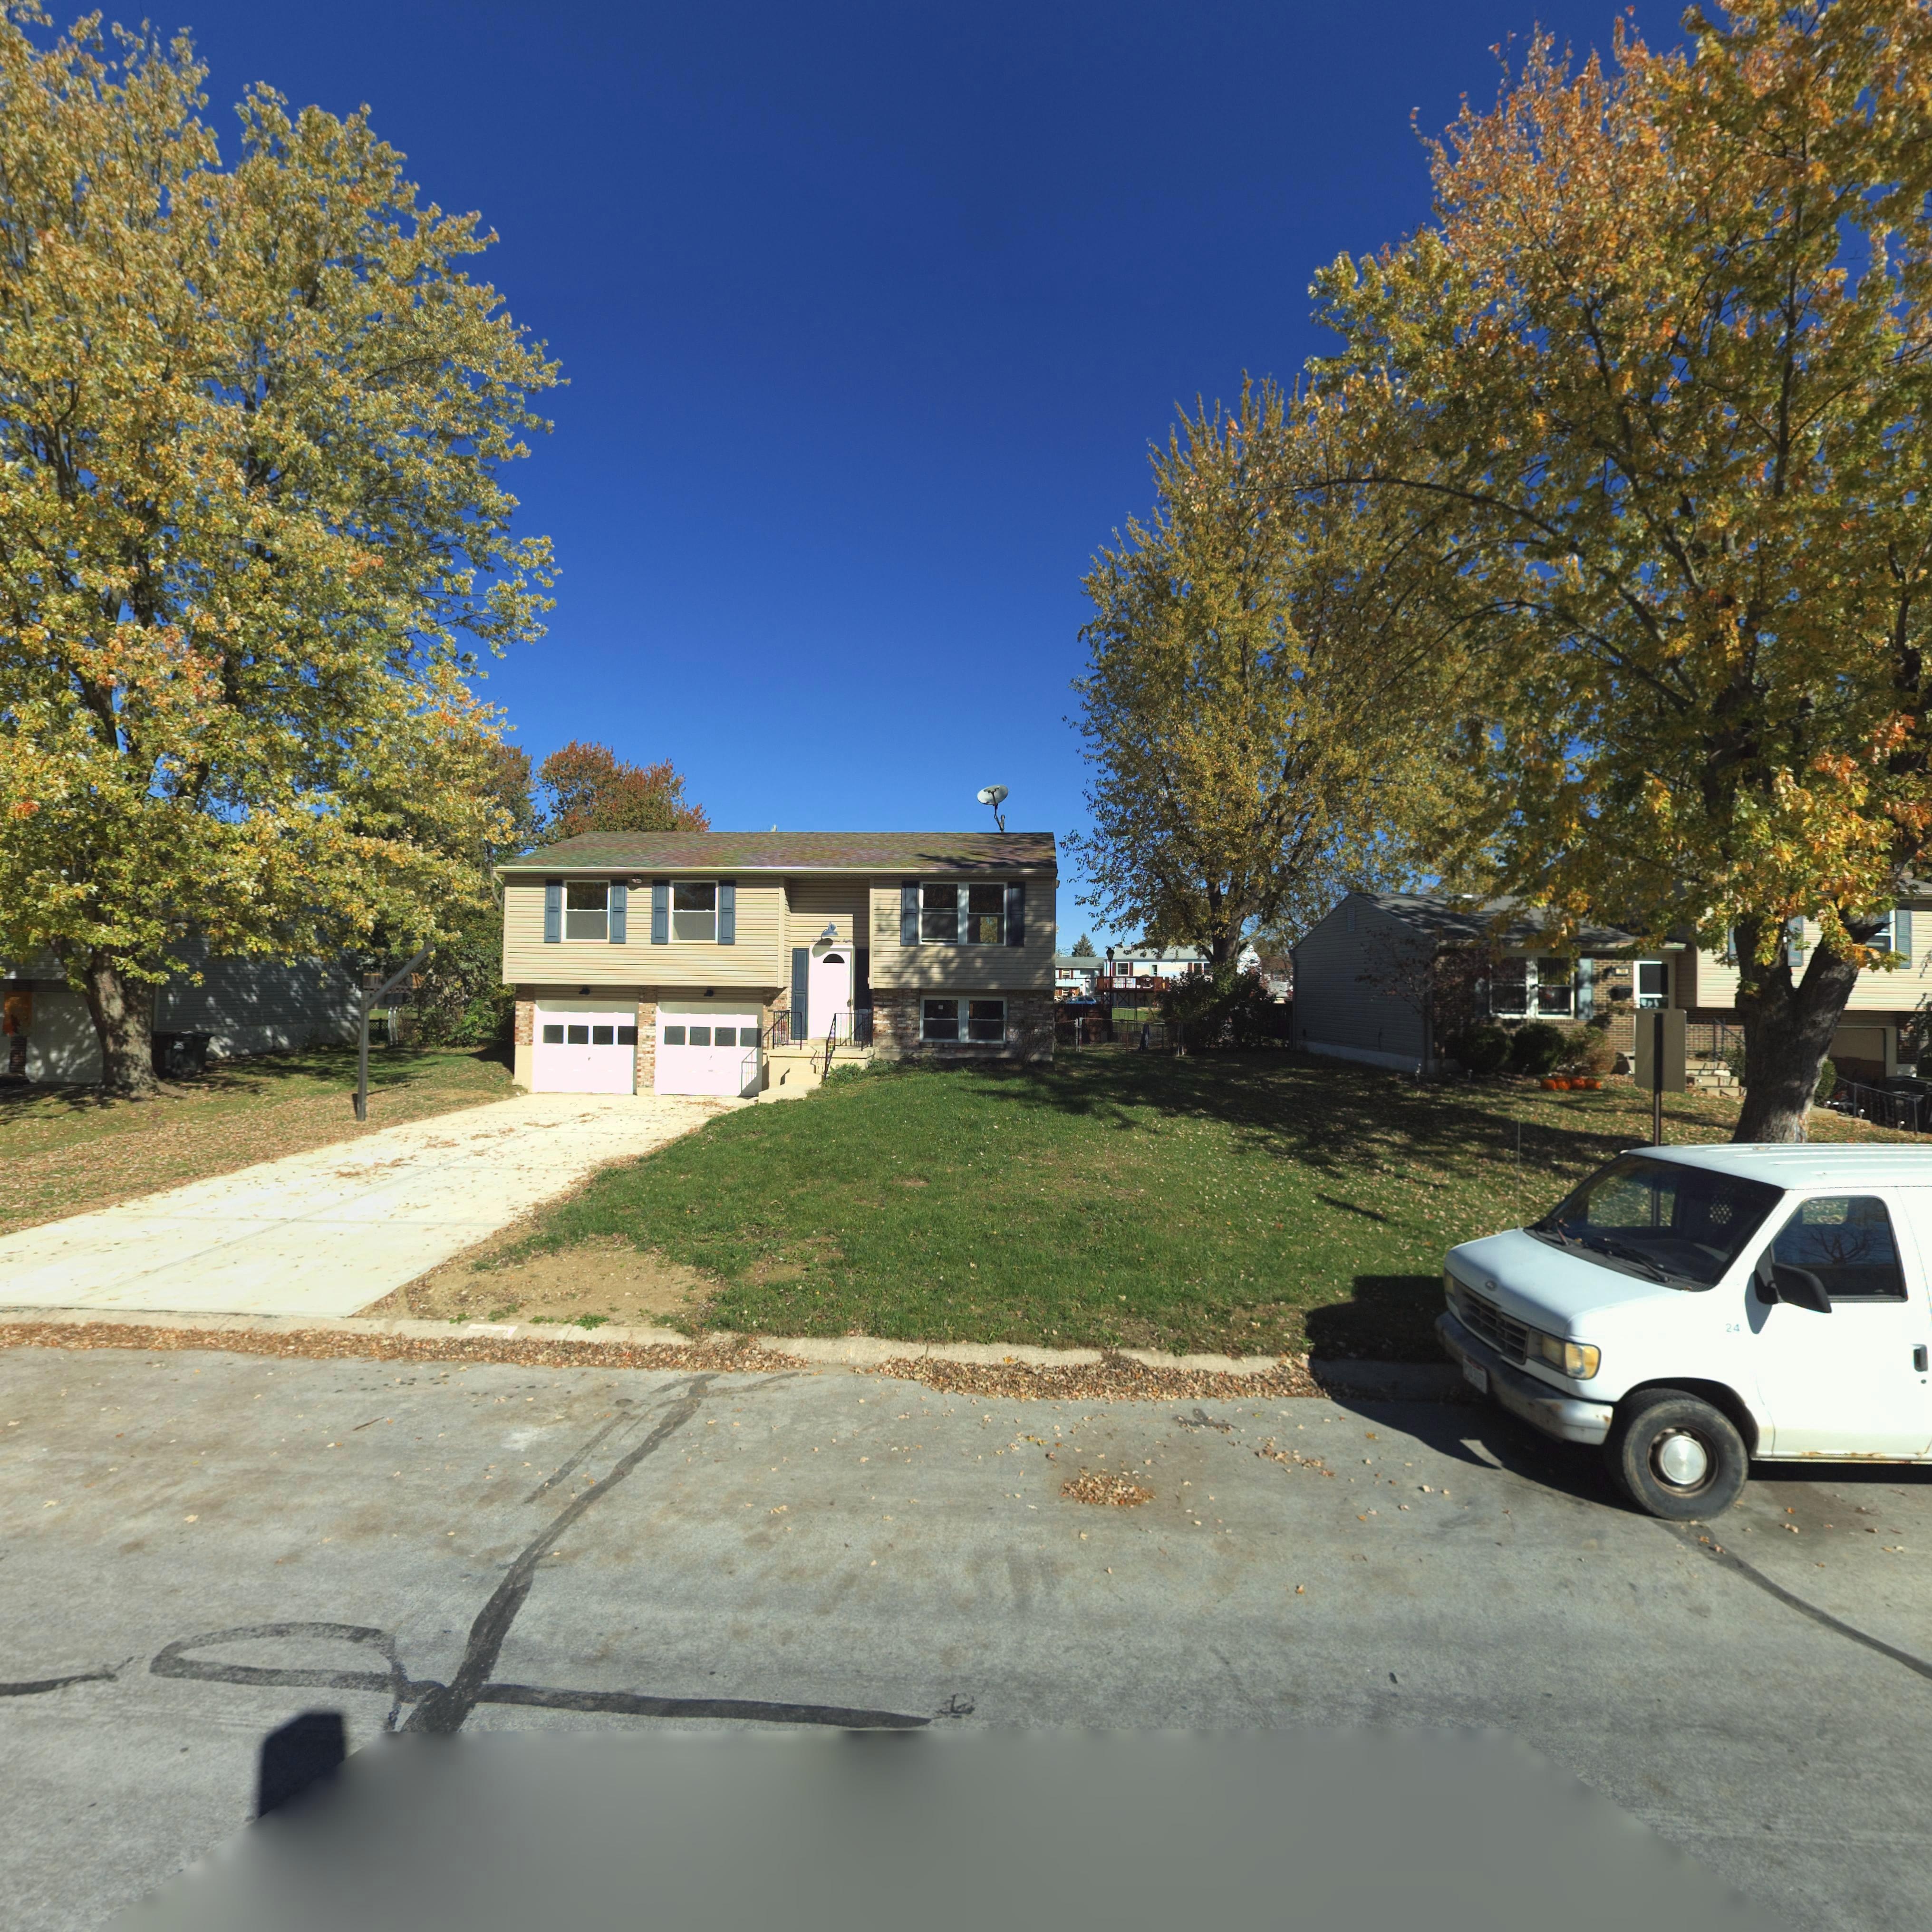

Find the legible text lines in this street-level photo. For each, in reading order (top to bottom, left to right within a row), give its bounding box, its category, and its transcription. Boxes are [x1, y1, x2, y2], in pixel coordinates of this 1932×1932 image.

[842, 937, 846, 943] StreetNumber: E